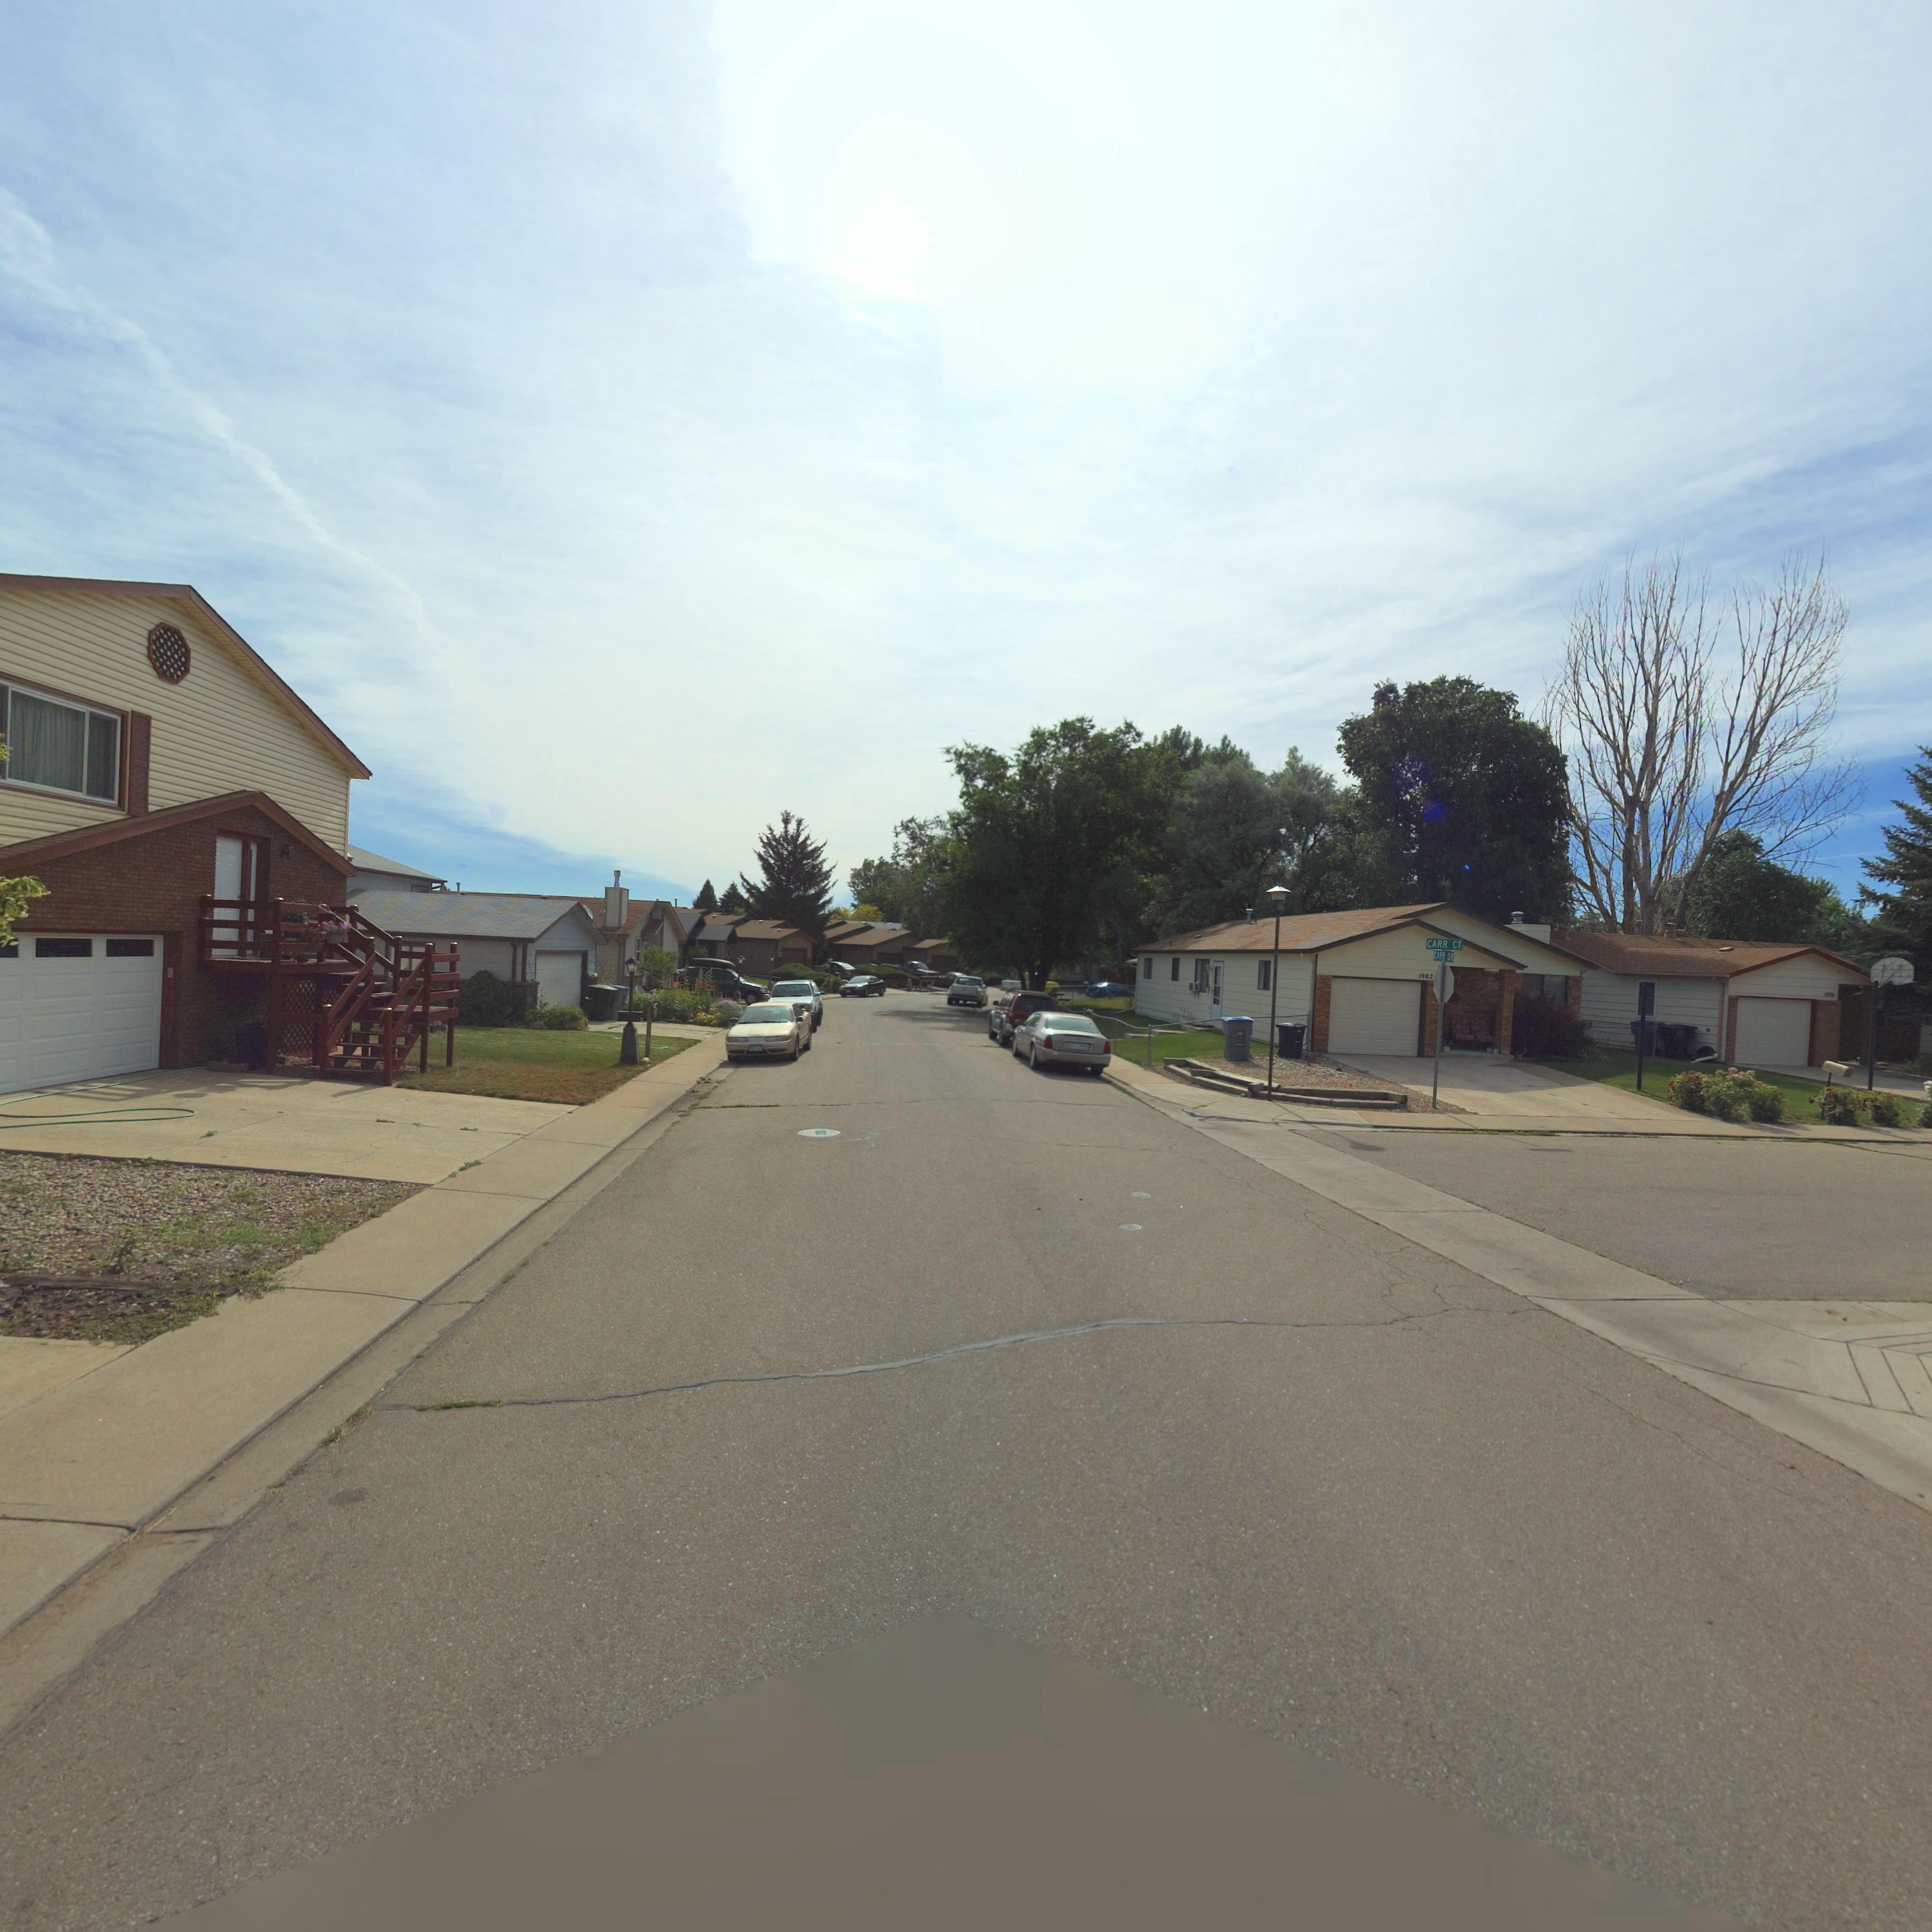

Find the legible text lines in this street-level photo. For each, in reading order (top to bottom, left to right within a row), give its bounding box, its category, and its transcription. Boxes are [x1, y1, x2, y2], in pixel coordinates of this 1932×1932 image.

[1427, 939, 1462, 949] StreetName: CARR CT
[1434, 950, 1453, 961] StreetName: CARR DR
[1419, 973, 1433, 979] StreetNumber: 1982
[1823, 991, 1835, 997] StreetNumber: **1*